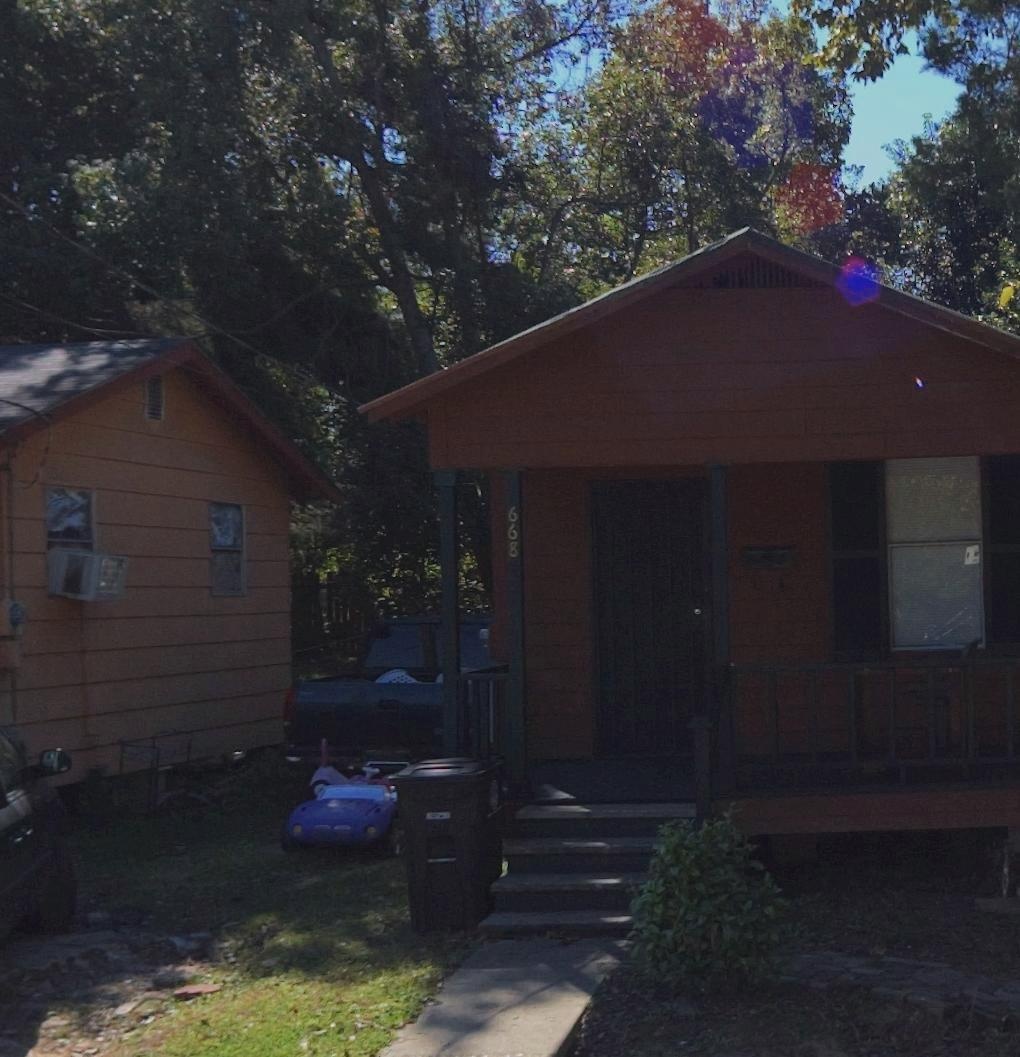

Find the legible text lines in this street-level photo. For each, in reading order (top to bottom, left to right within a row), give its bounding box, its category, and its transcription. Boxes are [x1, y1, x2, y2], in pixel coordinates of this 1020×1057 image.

[506, 503, 521, 560] StreetNumber: 668